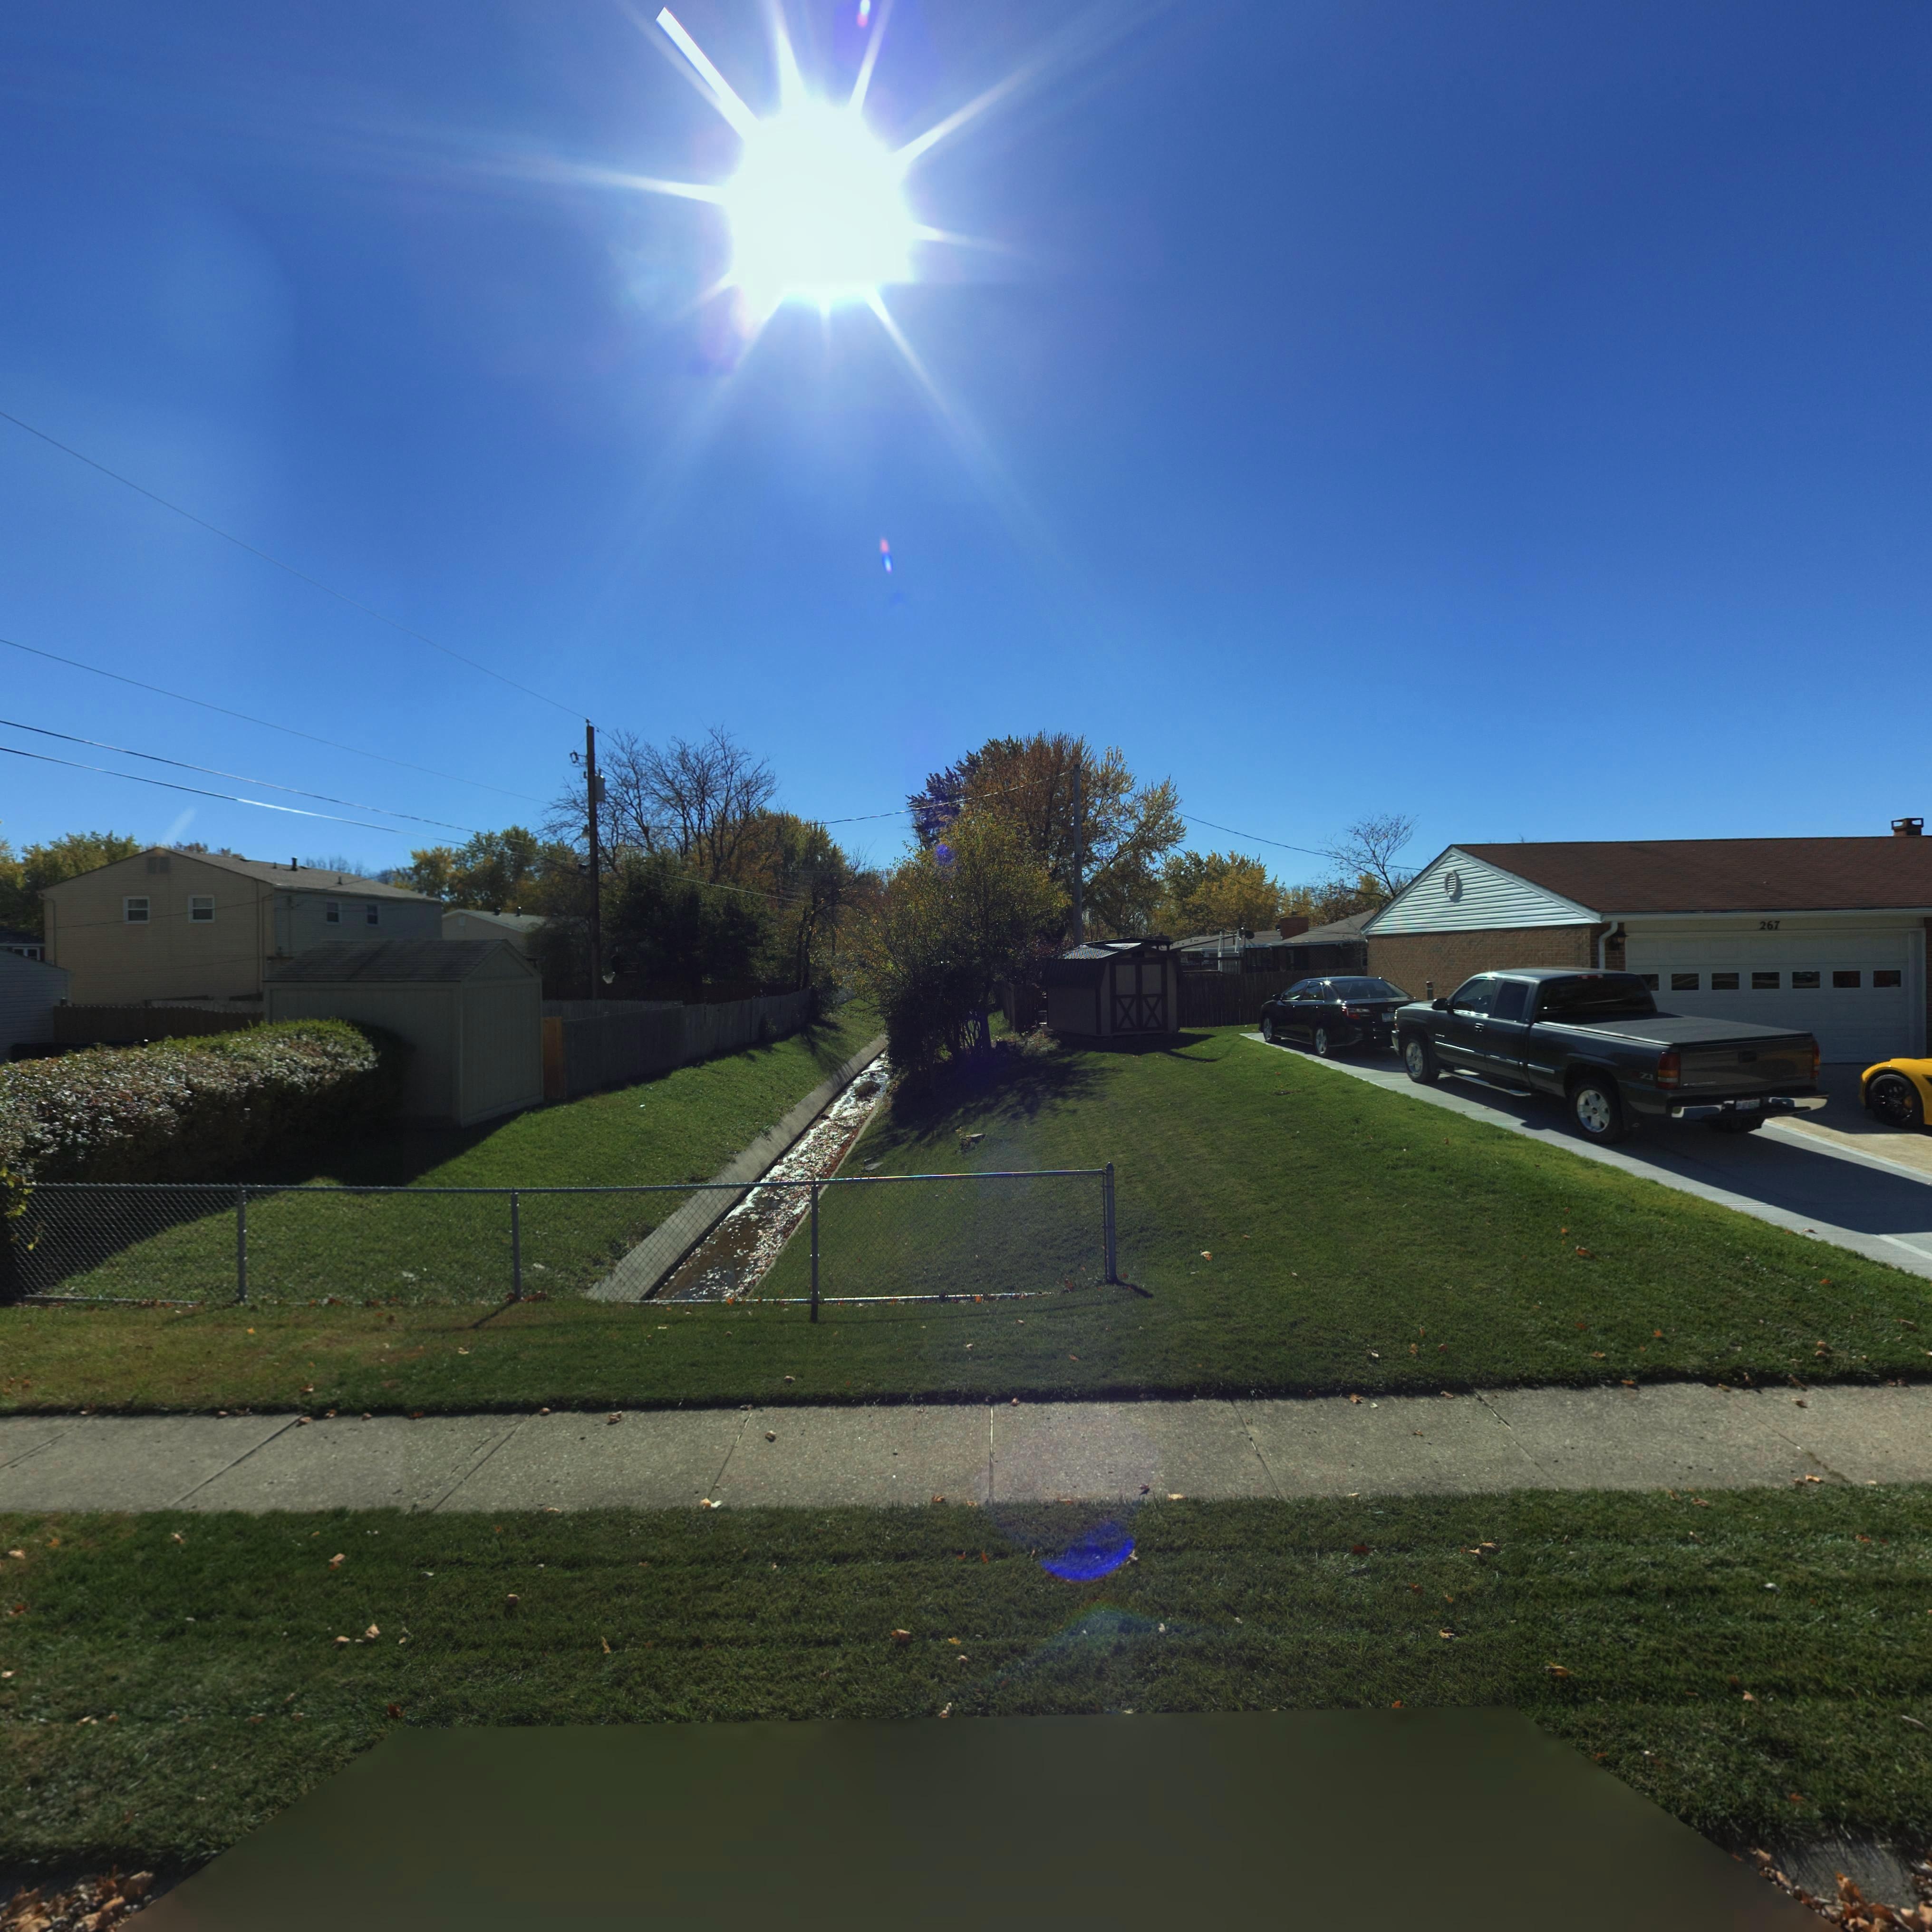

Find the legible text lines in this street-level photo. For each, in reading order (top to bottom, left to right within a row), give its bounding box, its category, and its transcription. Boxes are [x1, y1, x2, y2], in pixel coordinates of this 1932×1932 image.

[1759, 920, 1781, 930] StreetNumber: 267
[1639, 1071, 1654, 1081] None: ZJ